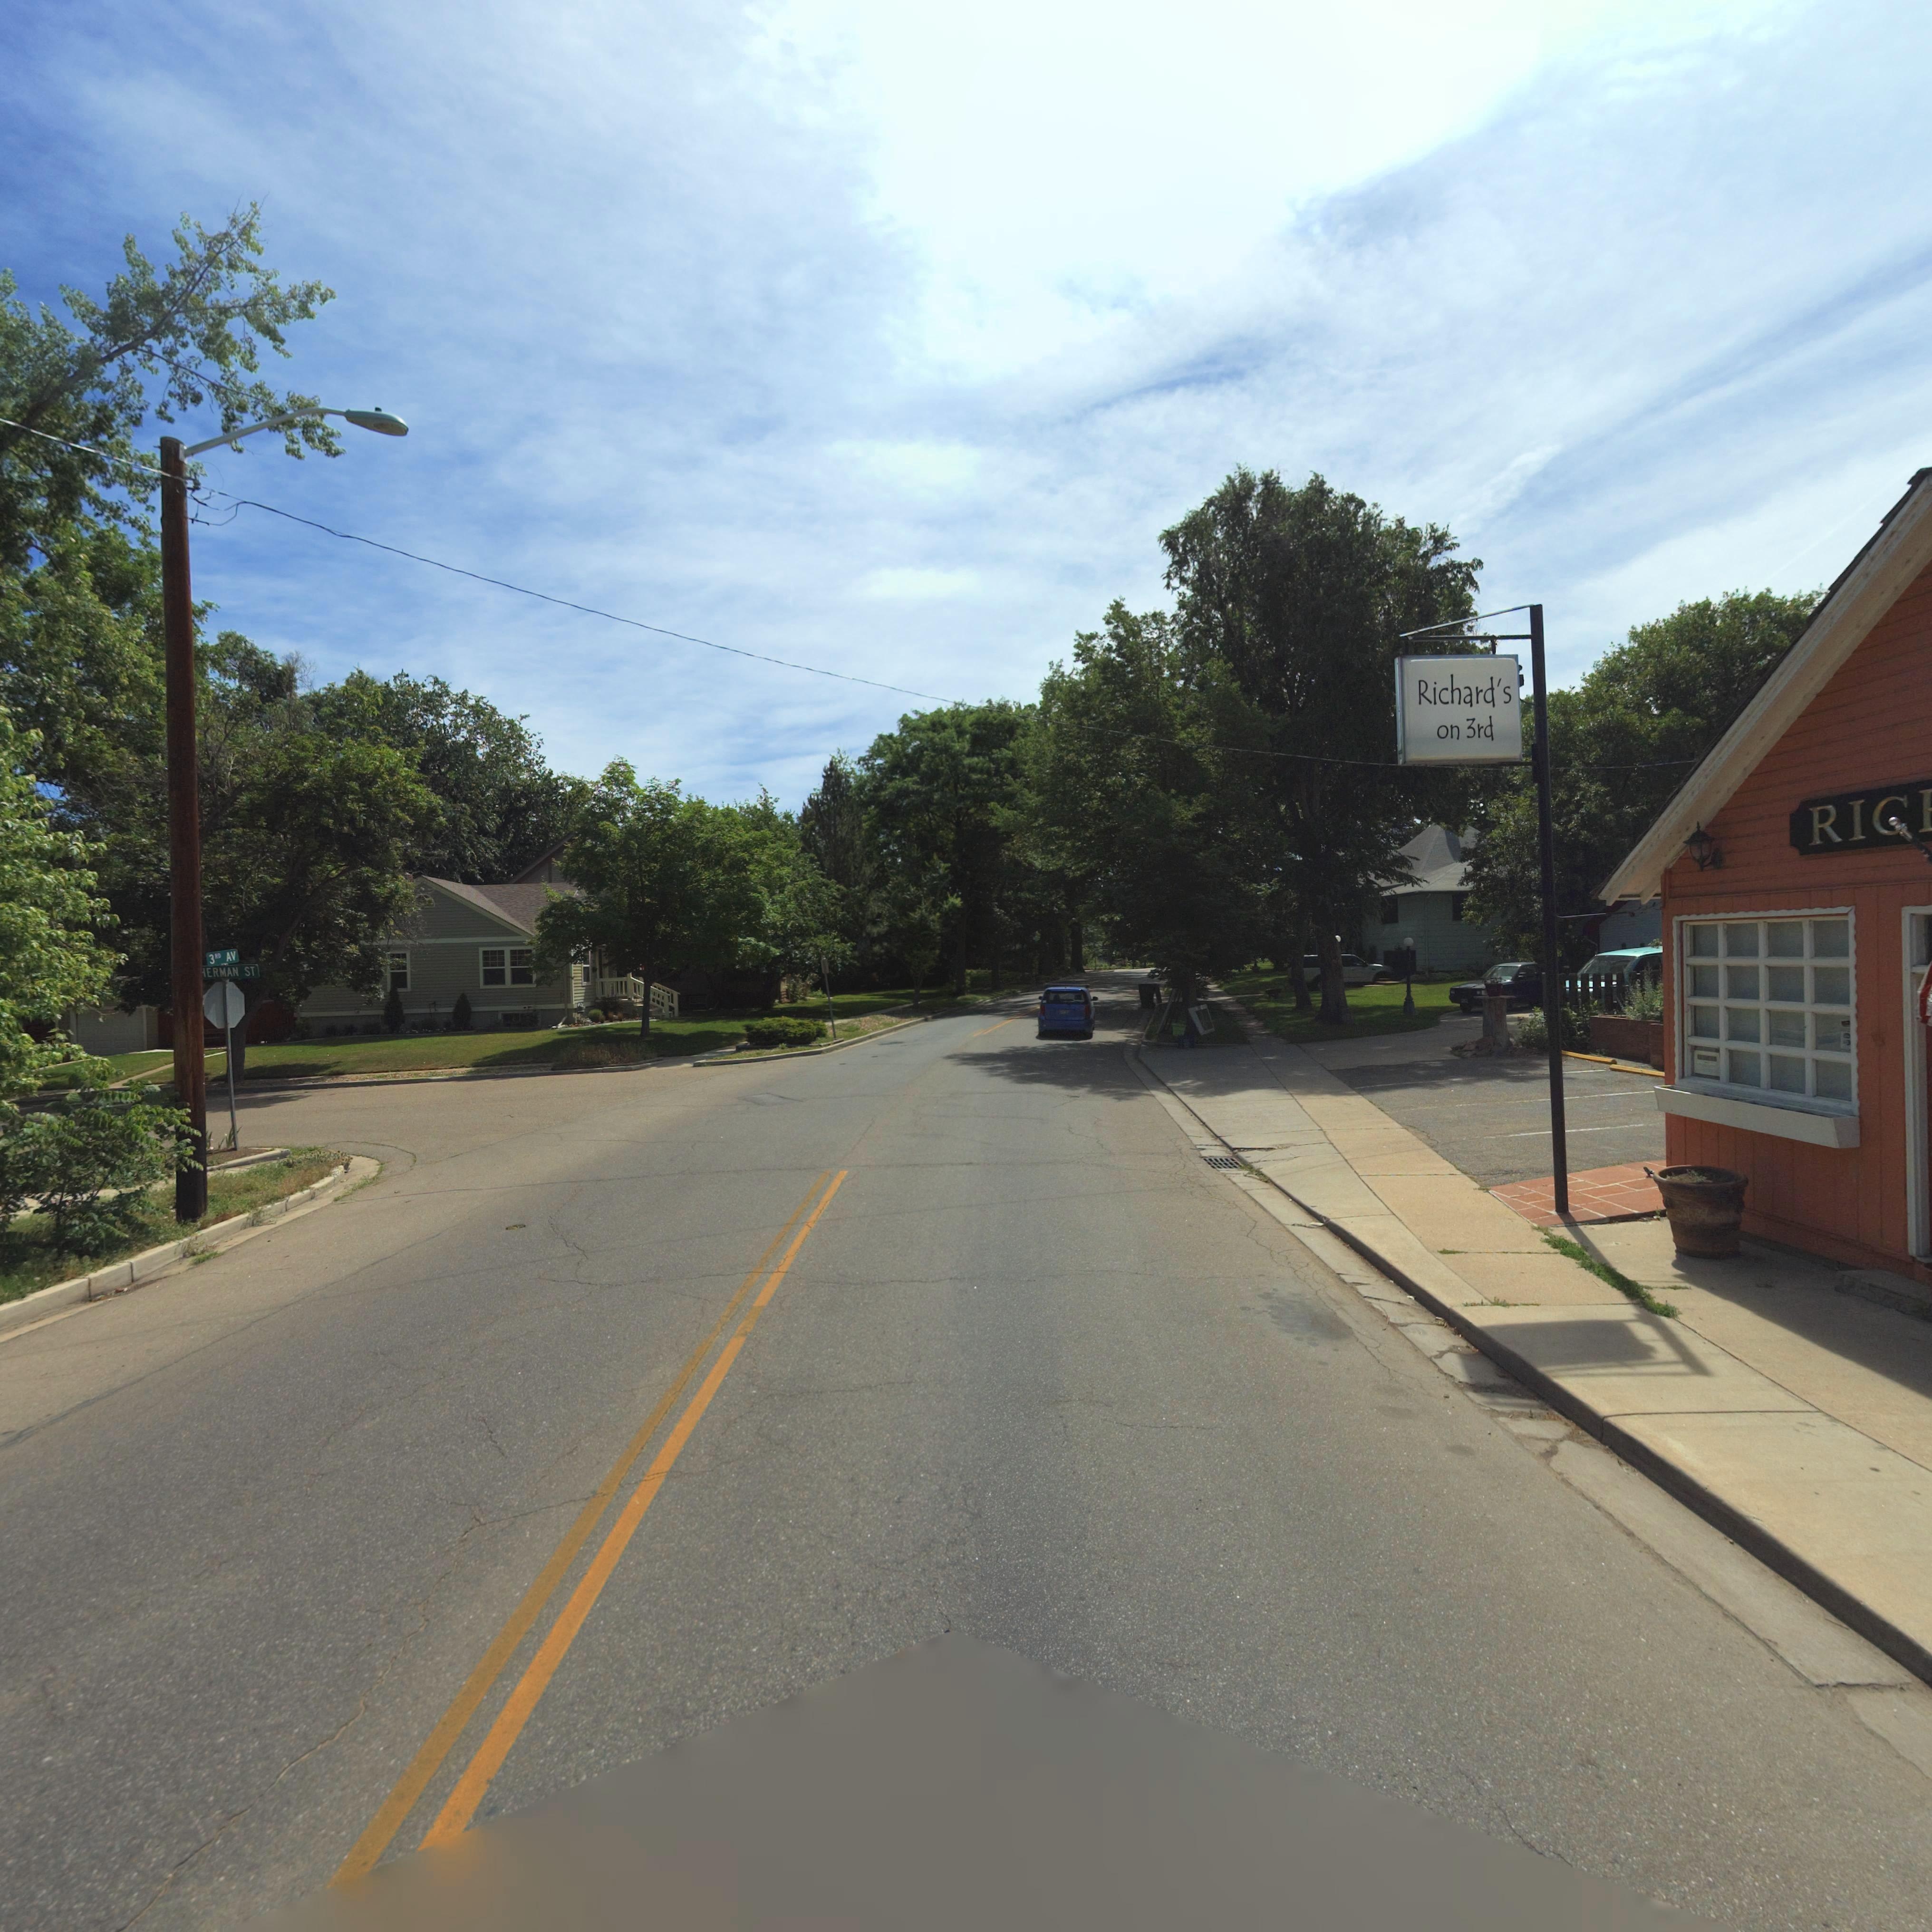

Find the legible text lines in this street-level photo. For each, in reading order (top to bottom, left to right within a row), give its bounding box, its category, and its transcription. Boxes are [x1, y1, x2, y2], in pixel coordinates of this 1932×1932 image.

[1418, 673, 1512, 708] BusinessName: Richard's 
[1807, 793, 1909, 847] BusinessName: RIC
[208, 950, 236, 965] StreetName: 3RD AV
[201, 966, 254, 977] StreetName: *ERMAN ST